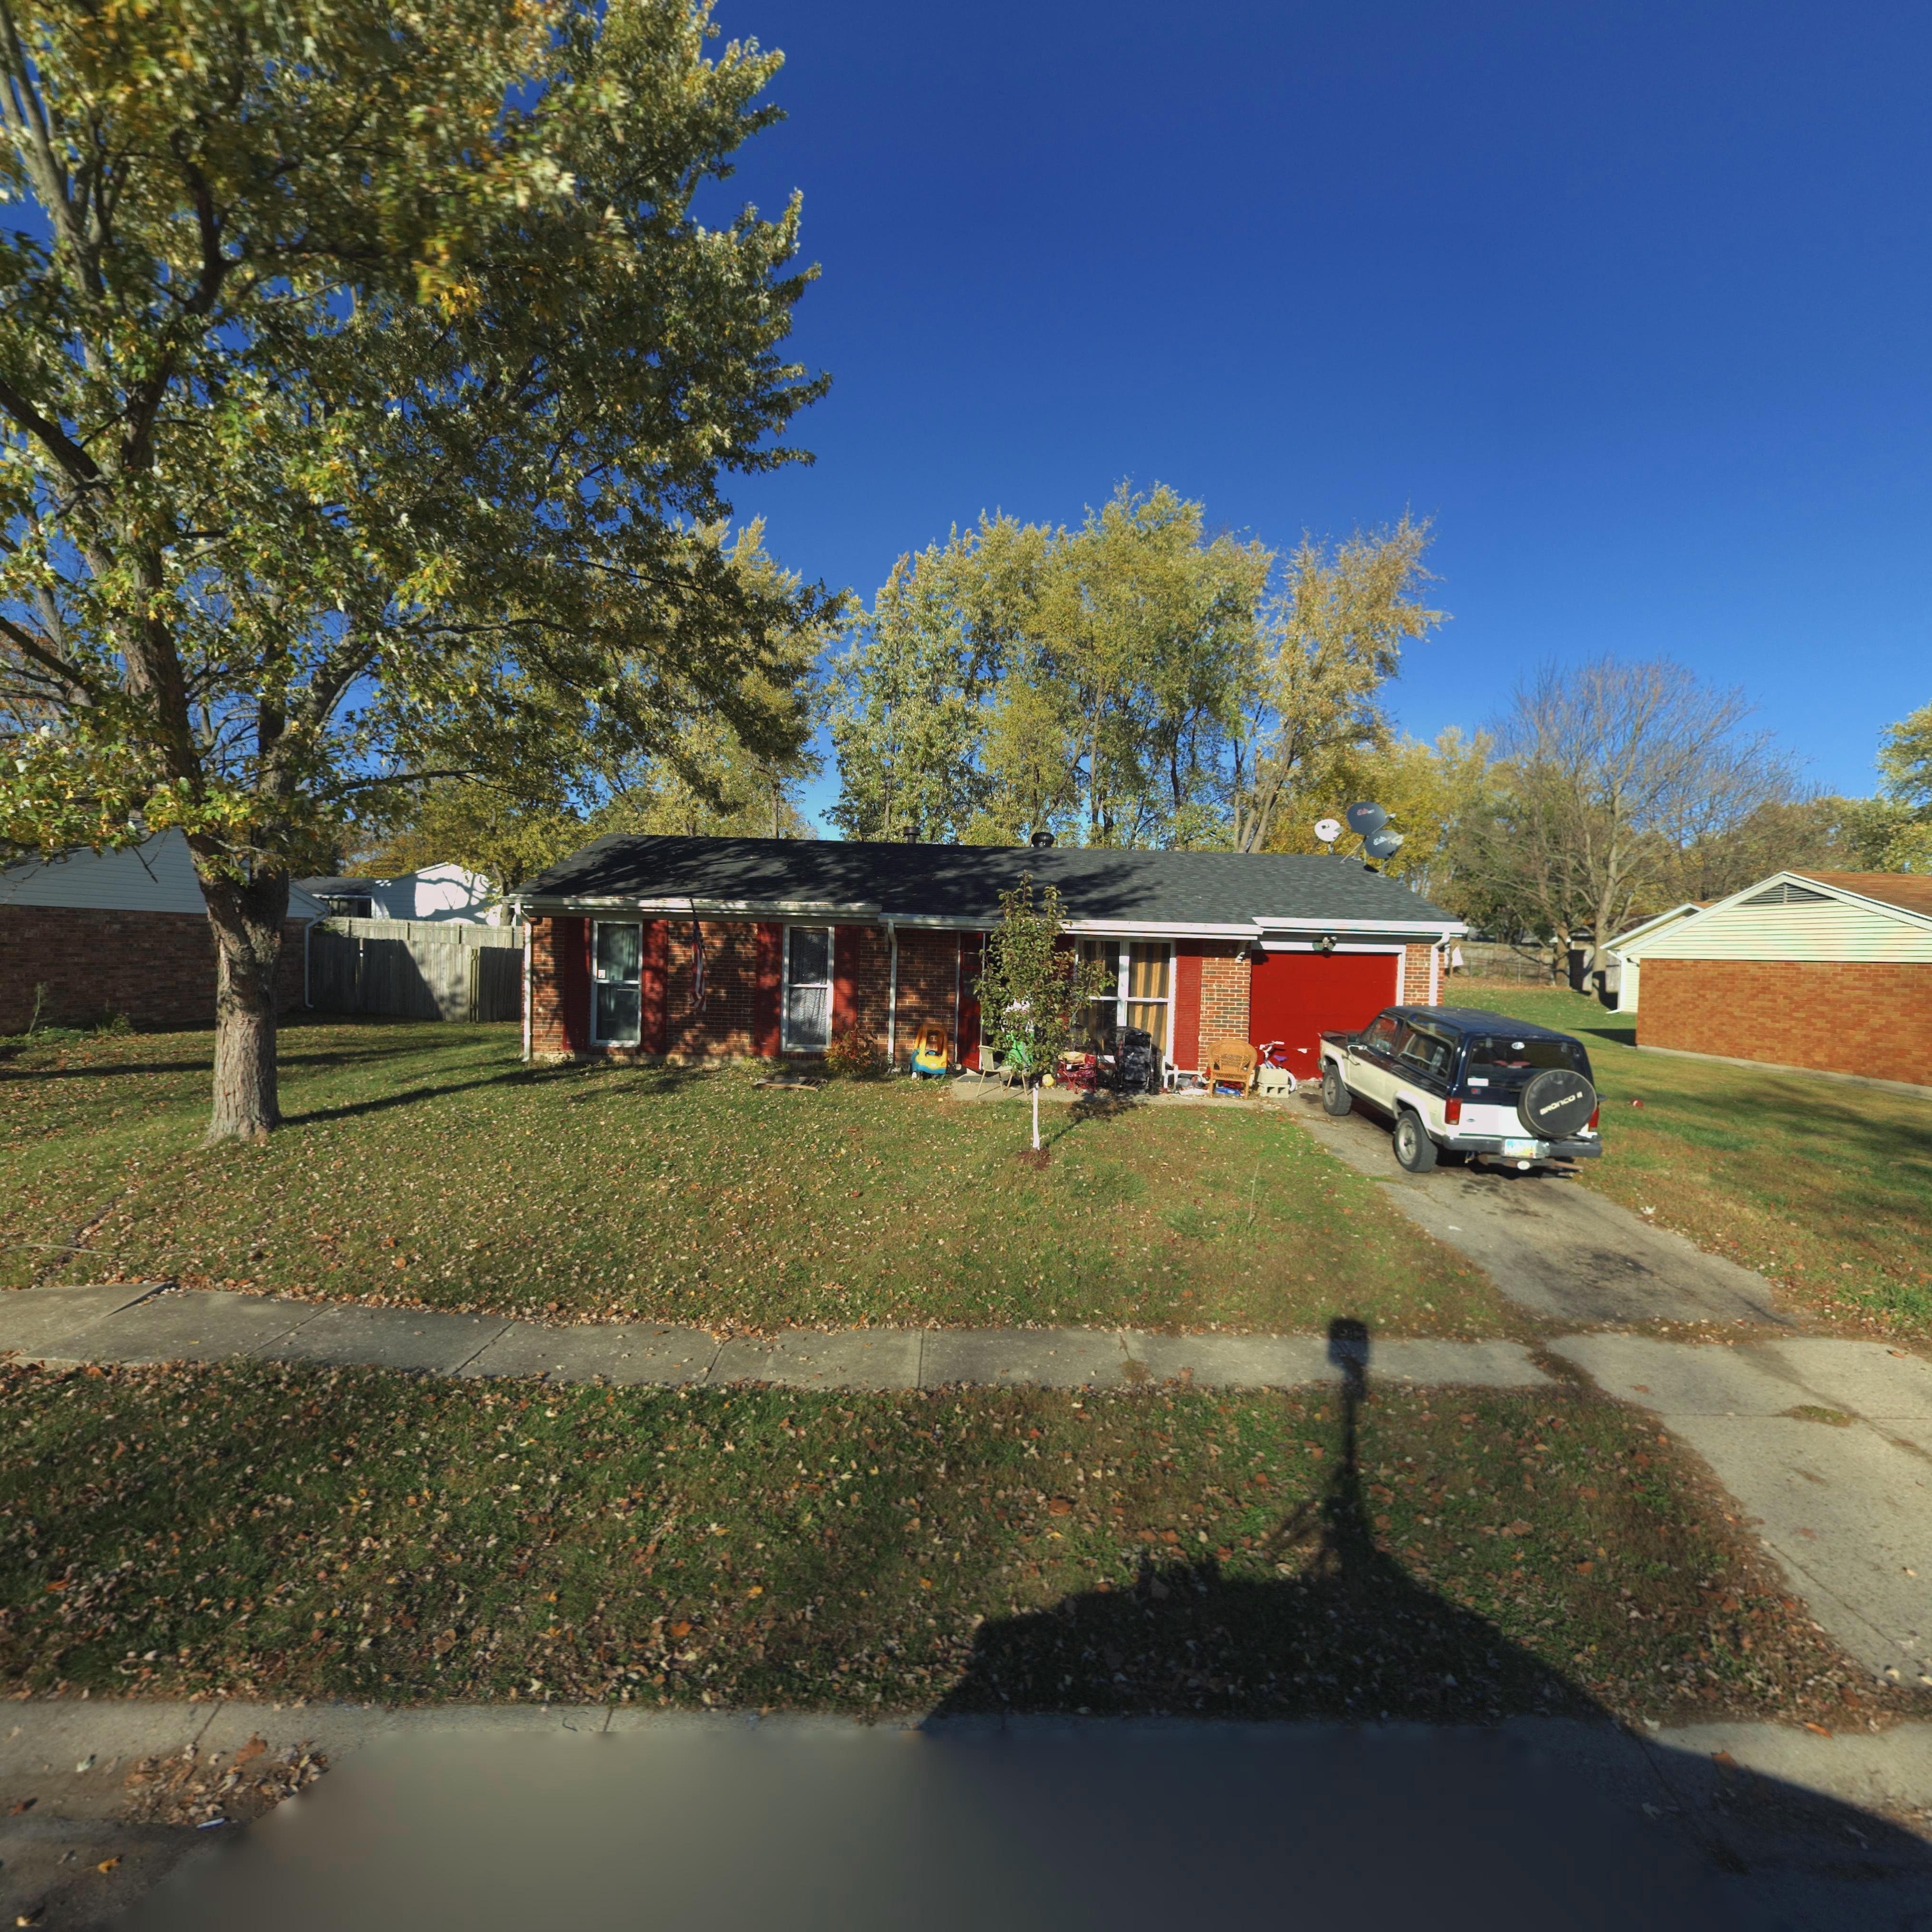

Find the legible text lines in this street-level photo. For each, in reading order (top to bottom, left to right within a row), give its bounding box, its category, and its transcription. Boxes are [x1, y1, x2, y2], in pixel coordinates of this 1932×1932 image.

[1314, 941, 1319, 948] StreetNumber: 5